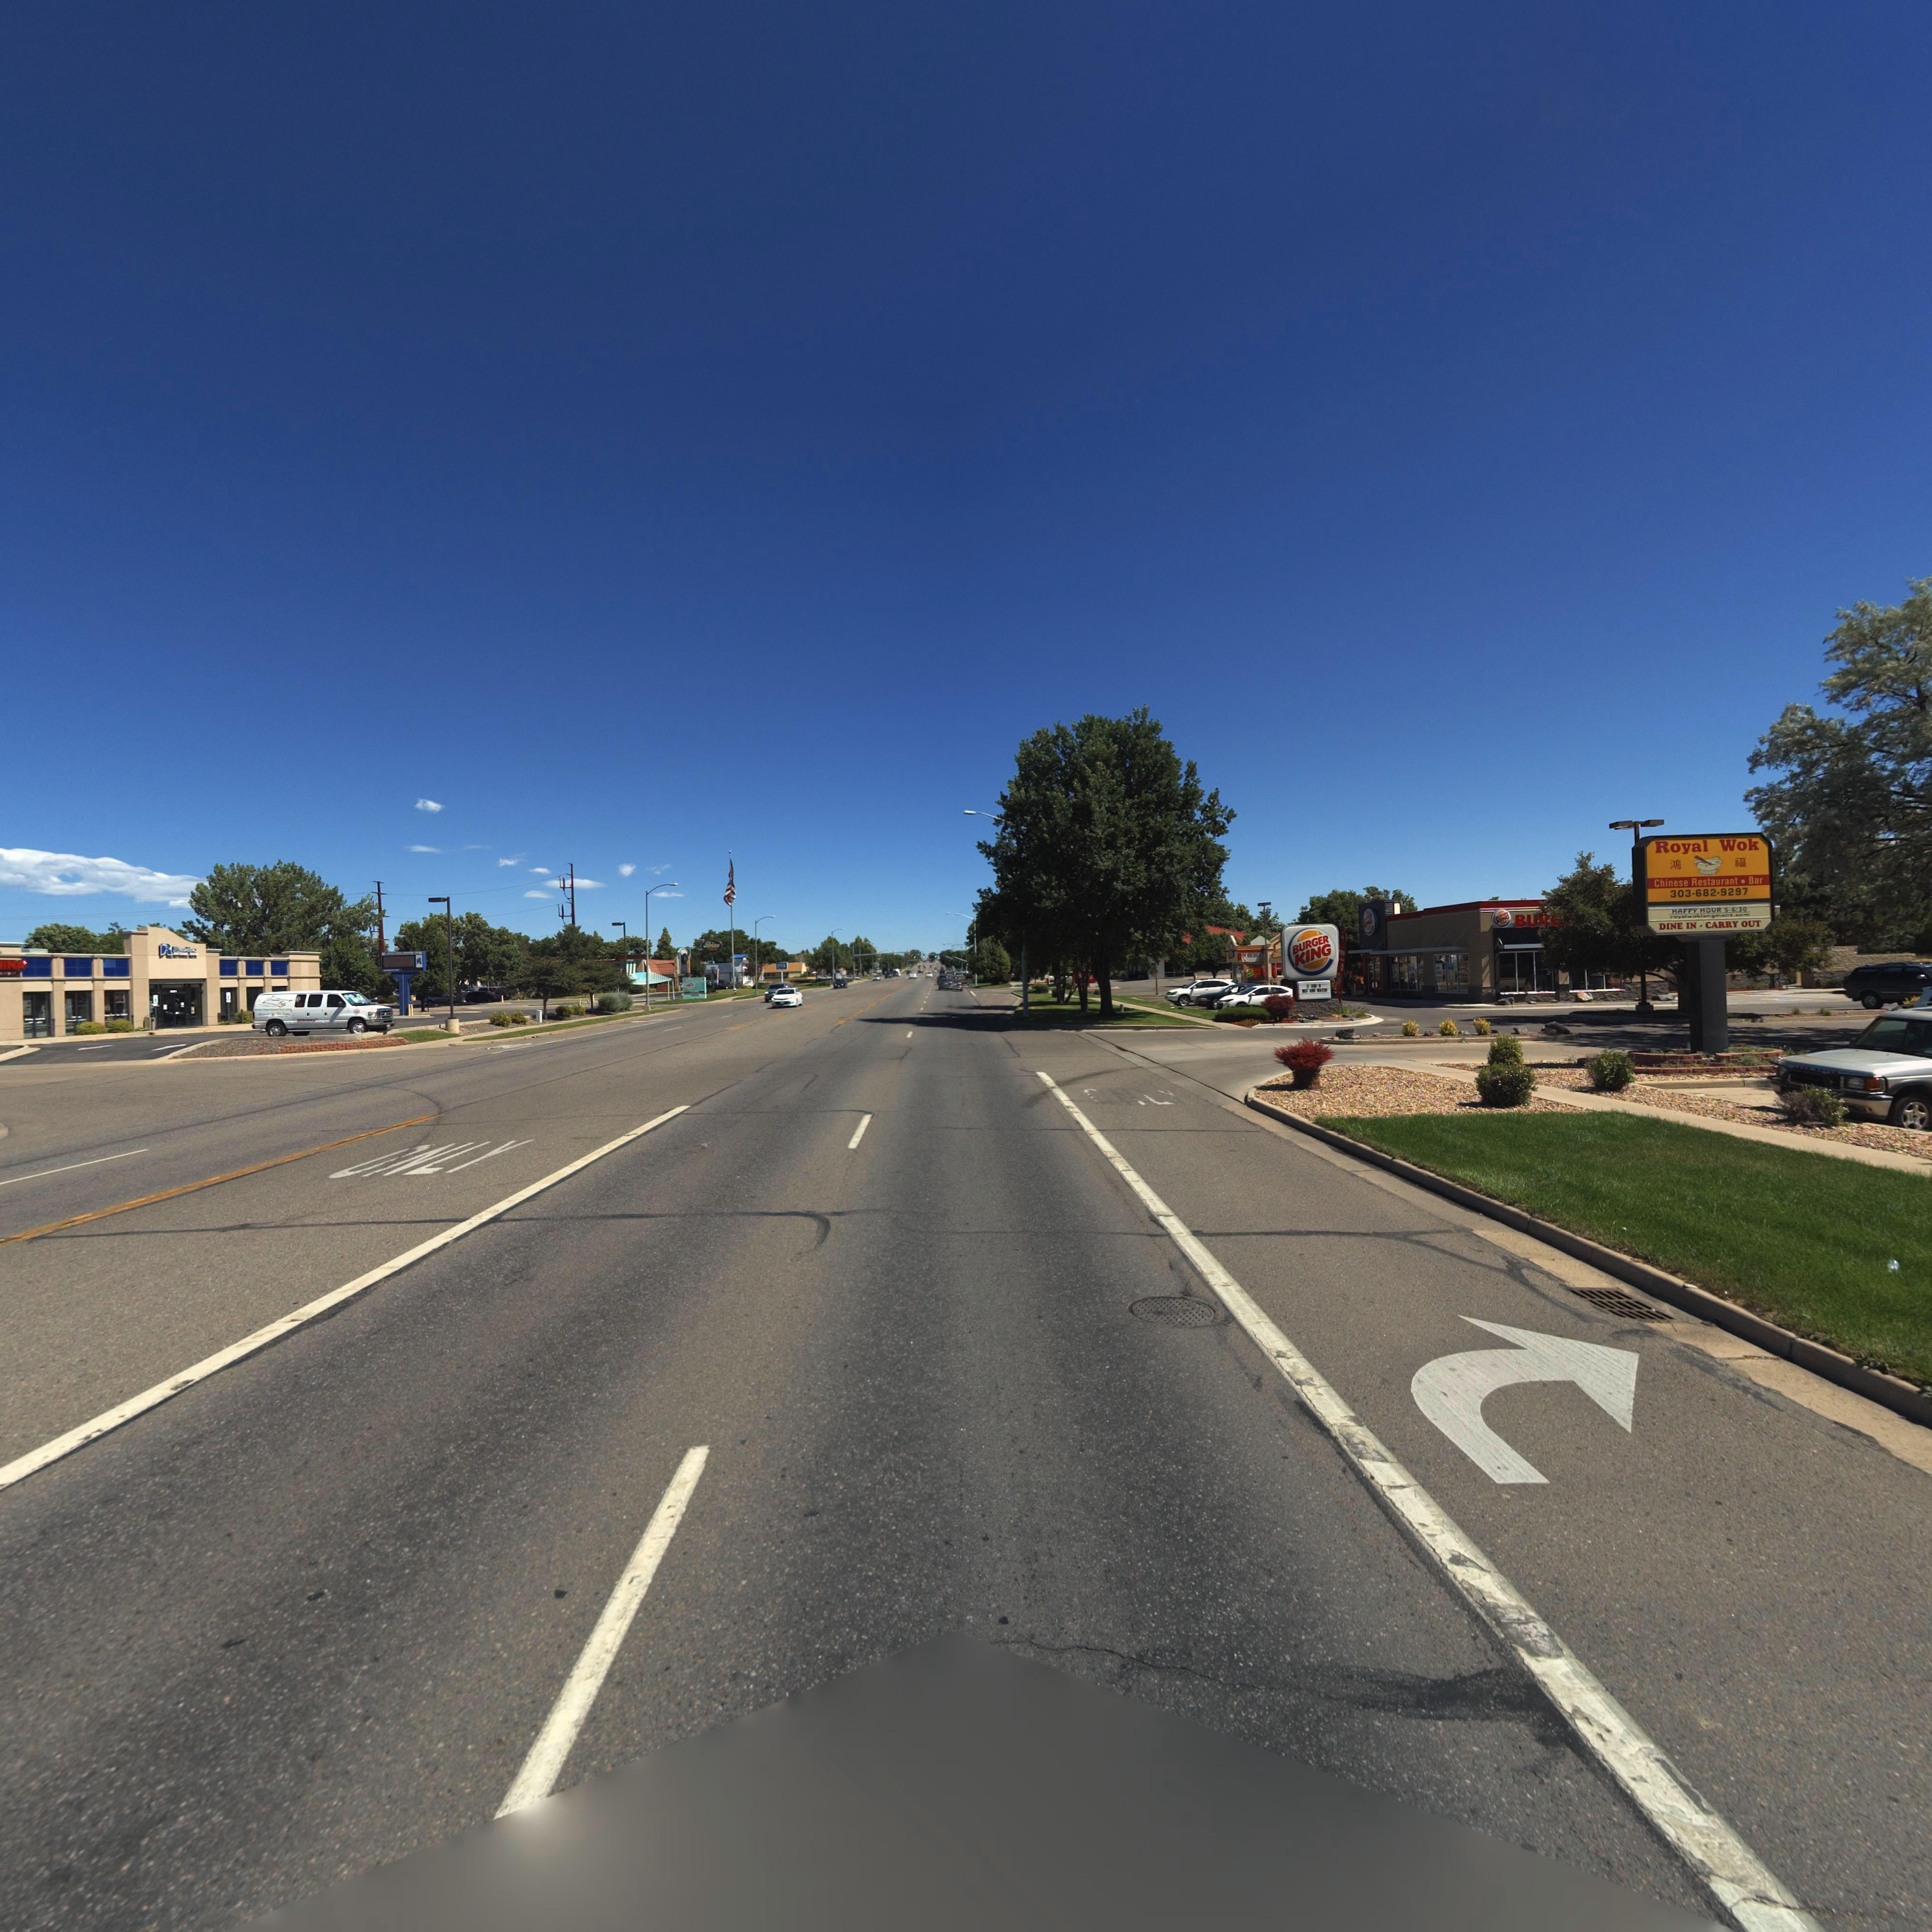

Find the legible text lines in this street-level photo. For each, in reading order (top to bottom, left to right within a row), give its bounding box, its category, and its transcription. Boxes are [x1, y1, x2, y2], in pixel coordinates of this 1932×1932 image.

[1654, 837, 1759, 855] BusinessName: Royal Wok
[1363, 917, 1372, 930] BusinessName: KING
[1495, 911, 1508, 920] BusinessName: BURGER
[1496, 914, 1509, 925] BusinessName: KING
[1515, 914, 1538, 927] BusinessName: BU
[3, 960, 26, 970] BusinessName: INA
[160, 943, 174, 956] BusinessName: R
[416, 957, 421, 964] BusinessName: R
[703, 940, 720, 948] BusinessName: Perkins
[1292, 934, 1329, 955] BusinessName: BURGER
[1294, 943, 1331, 968] BusinessName: KING